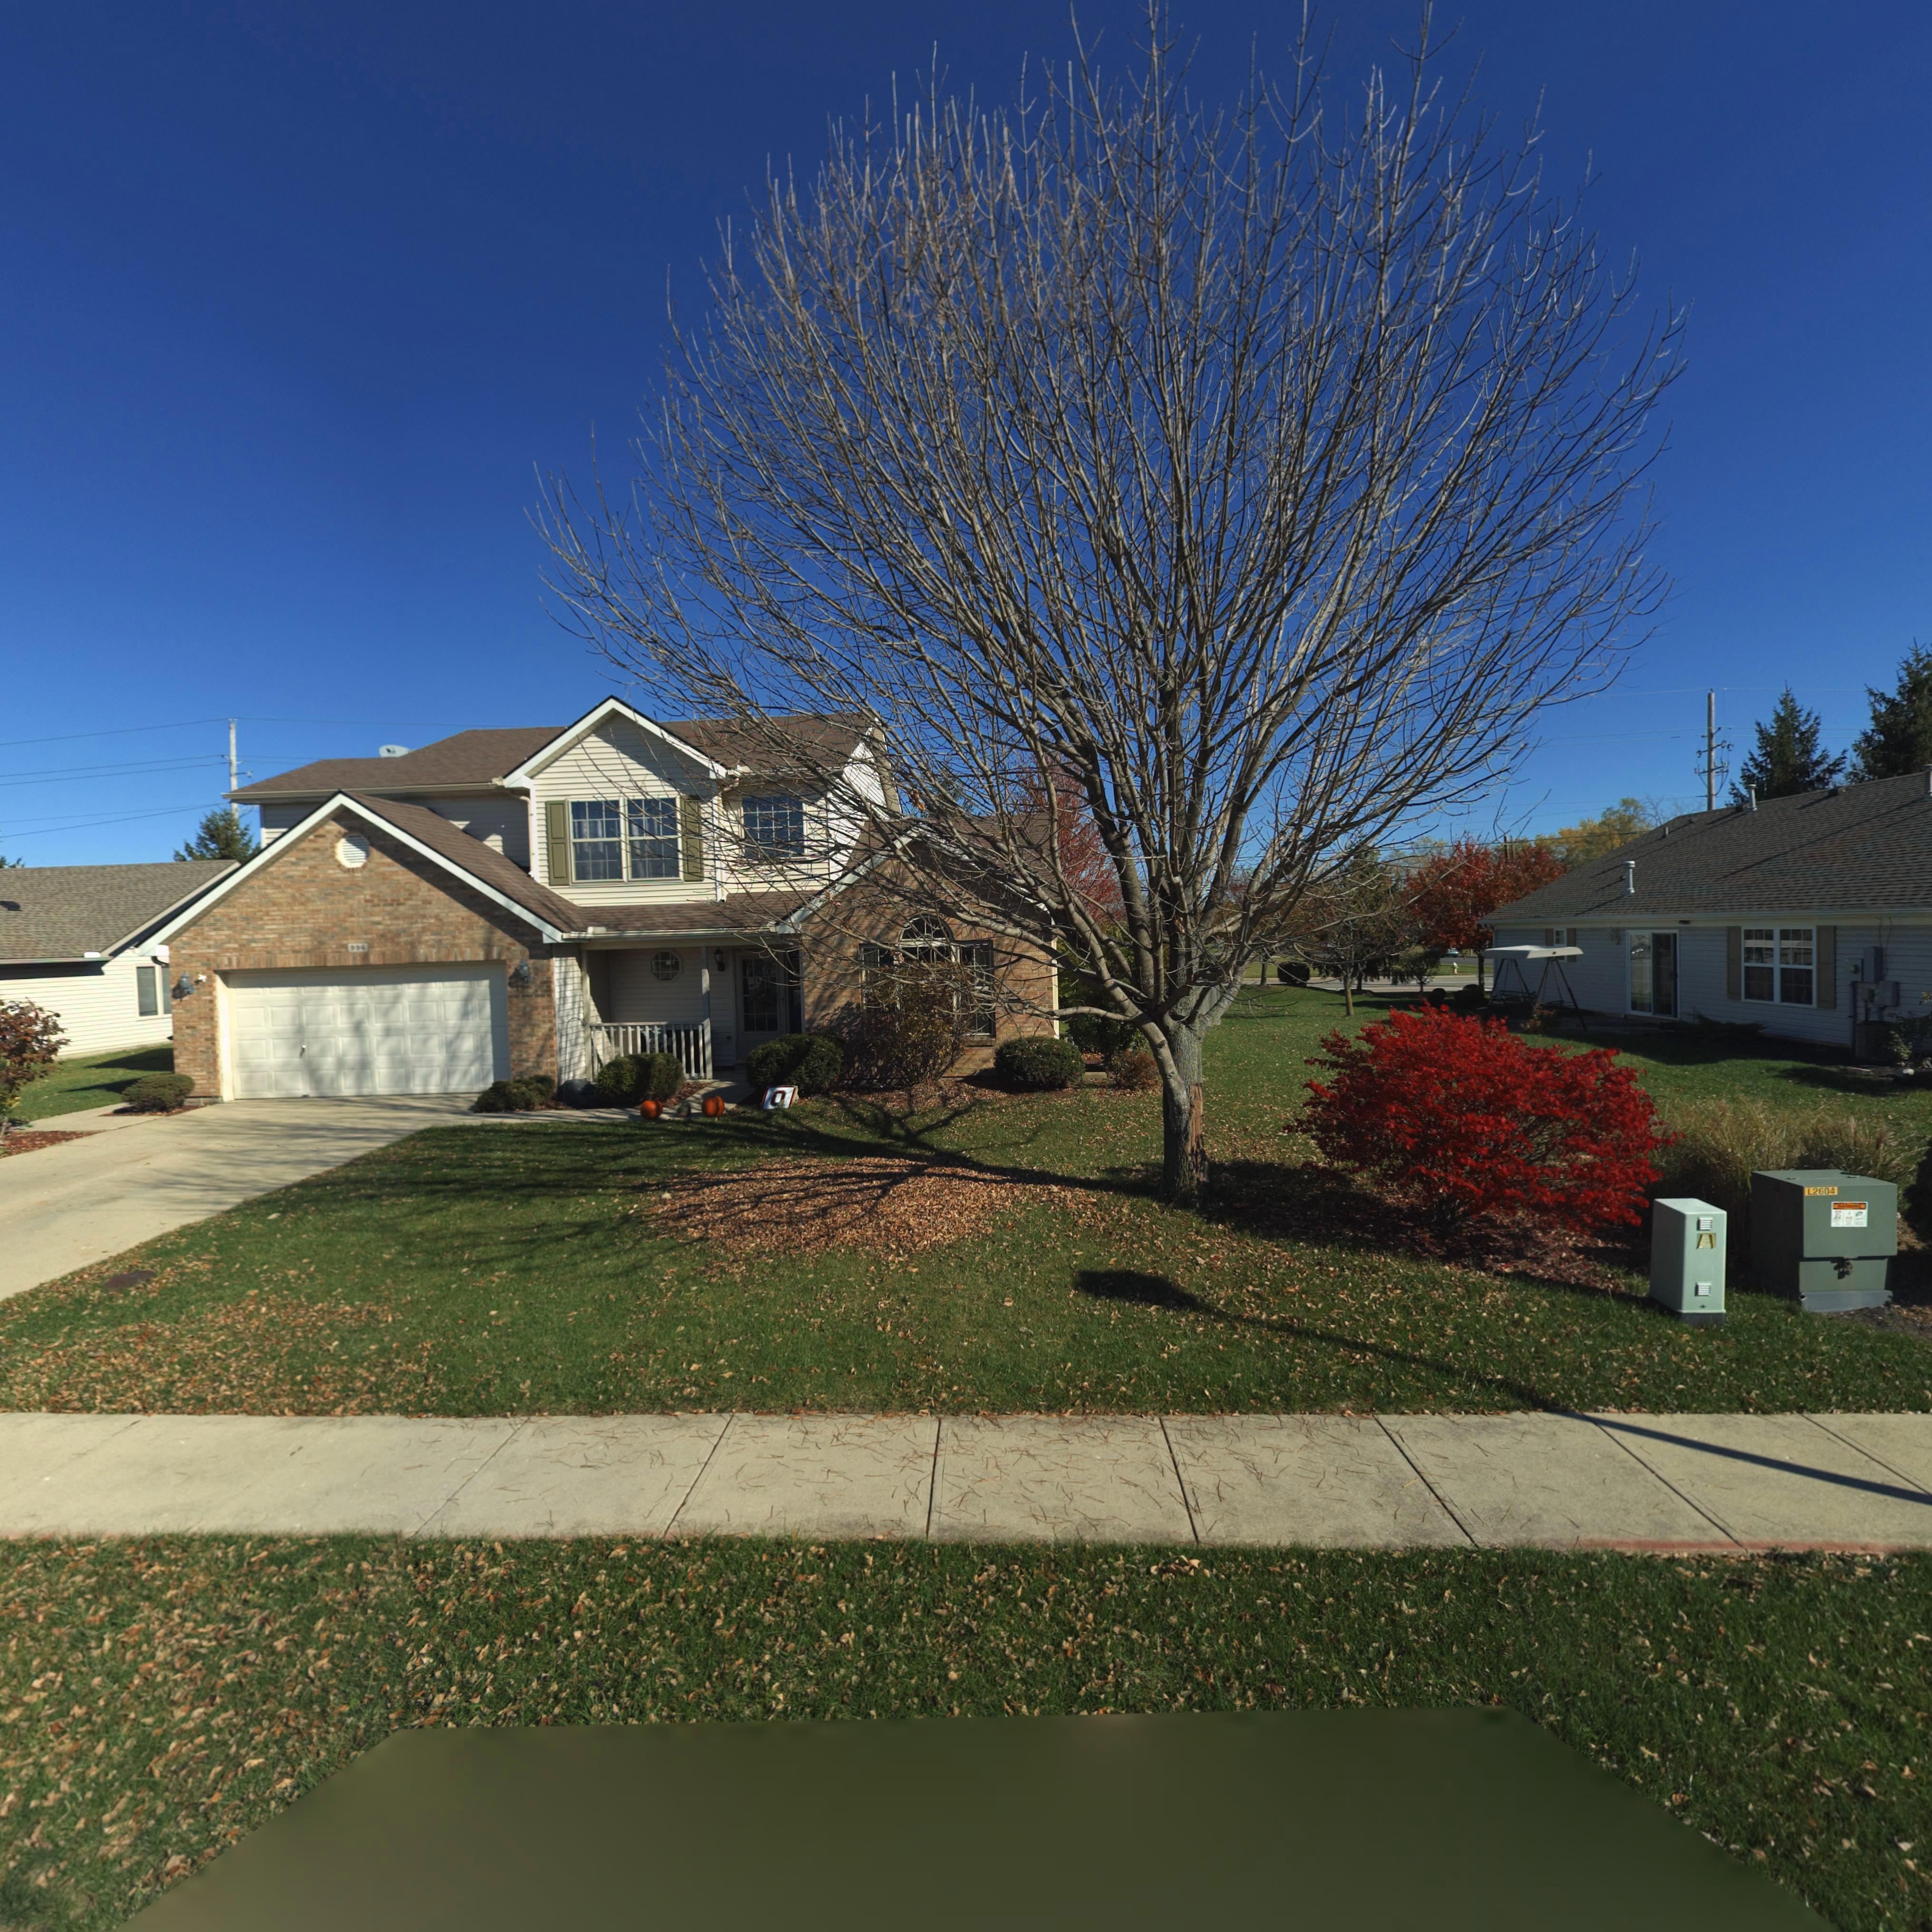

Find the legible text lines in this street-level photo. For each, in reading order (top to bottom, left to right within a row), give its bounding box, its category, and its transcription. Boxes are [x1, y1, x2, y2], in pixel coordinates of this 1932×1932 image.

[349, 944, 367, 952] StreetNumber: 996